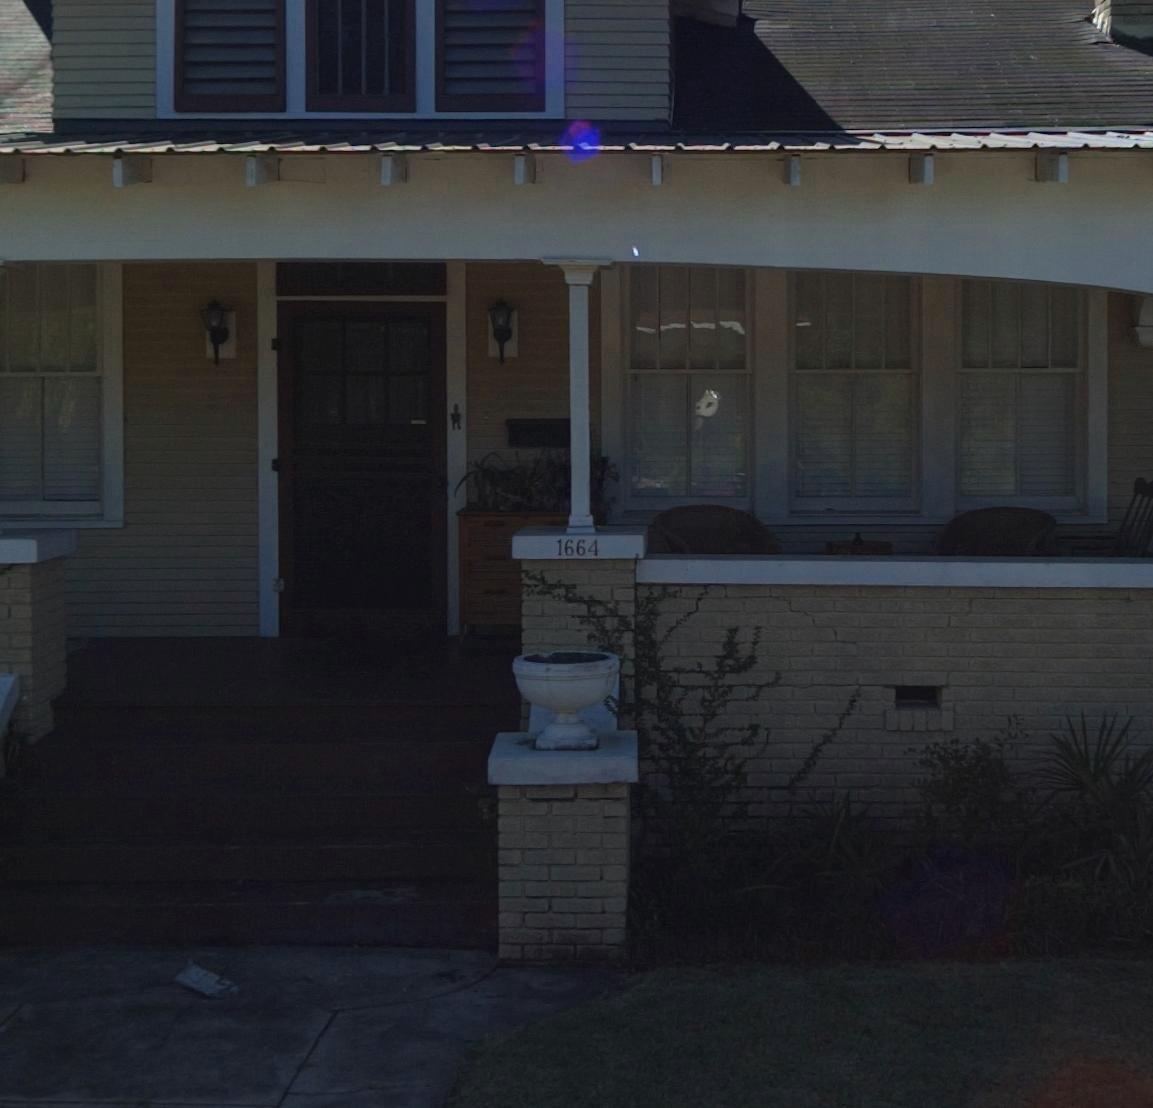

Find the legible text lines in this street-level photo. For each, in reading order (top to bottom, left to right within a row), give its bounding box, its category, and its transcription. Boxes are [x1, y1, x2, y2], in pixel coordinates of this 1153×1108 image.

[555, 535, 602, 559] StreetNumber: 1664